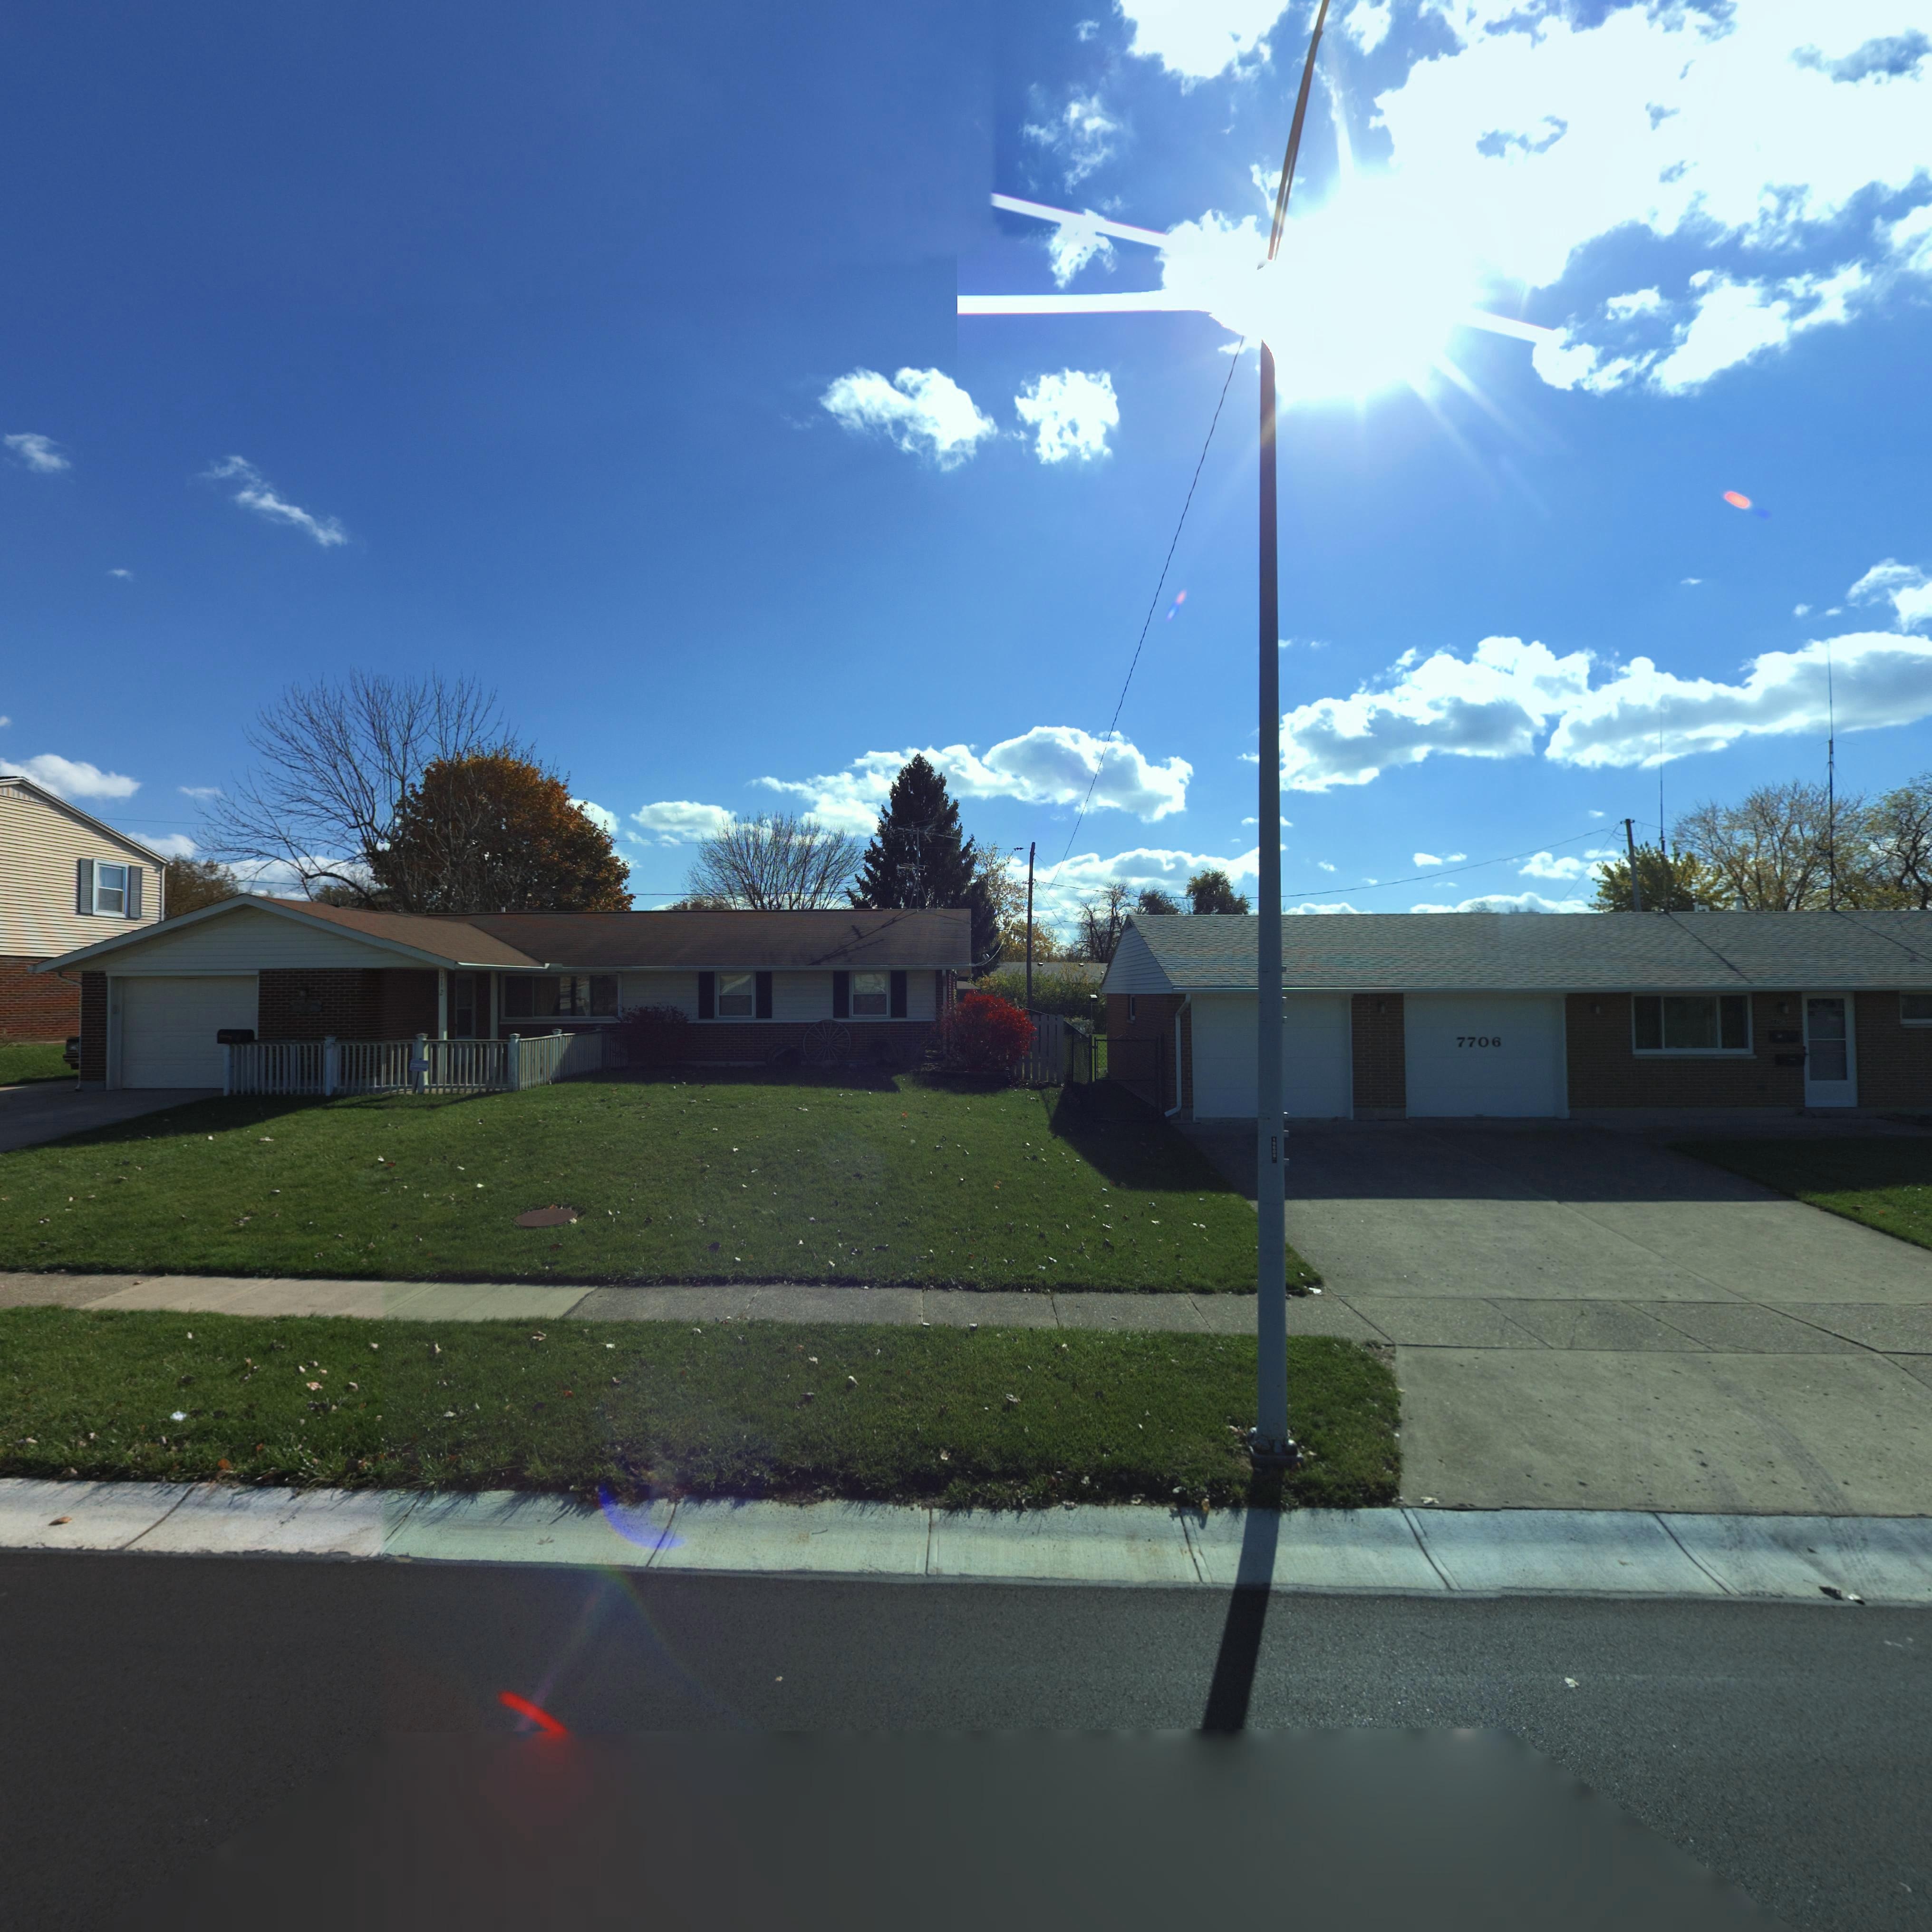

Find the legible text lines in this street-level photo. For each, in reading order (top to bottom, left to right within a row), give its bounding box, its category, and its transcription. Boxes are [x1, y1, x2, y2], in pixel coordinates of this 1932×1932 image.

[439, 970, 444, 996] StreetNumber: 7712
[1456, 1036, 1501, 1048] StreetNumber: 7706